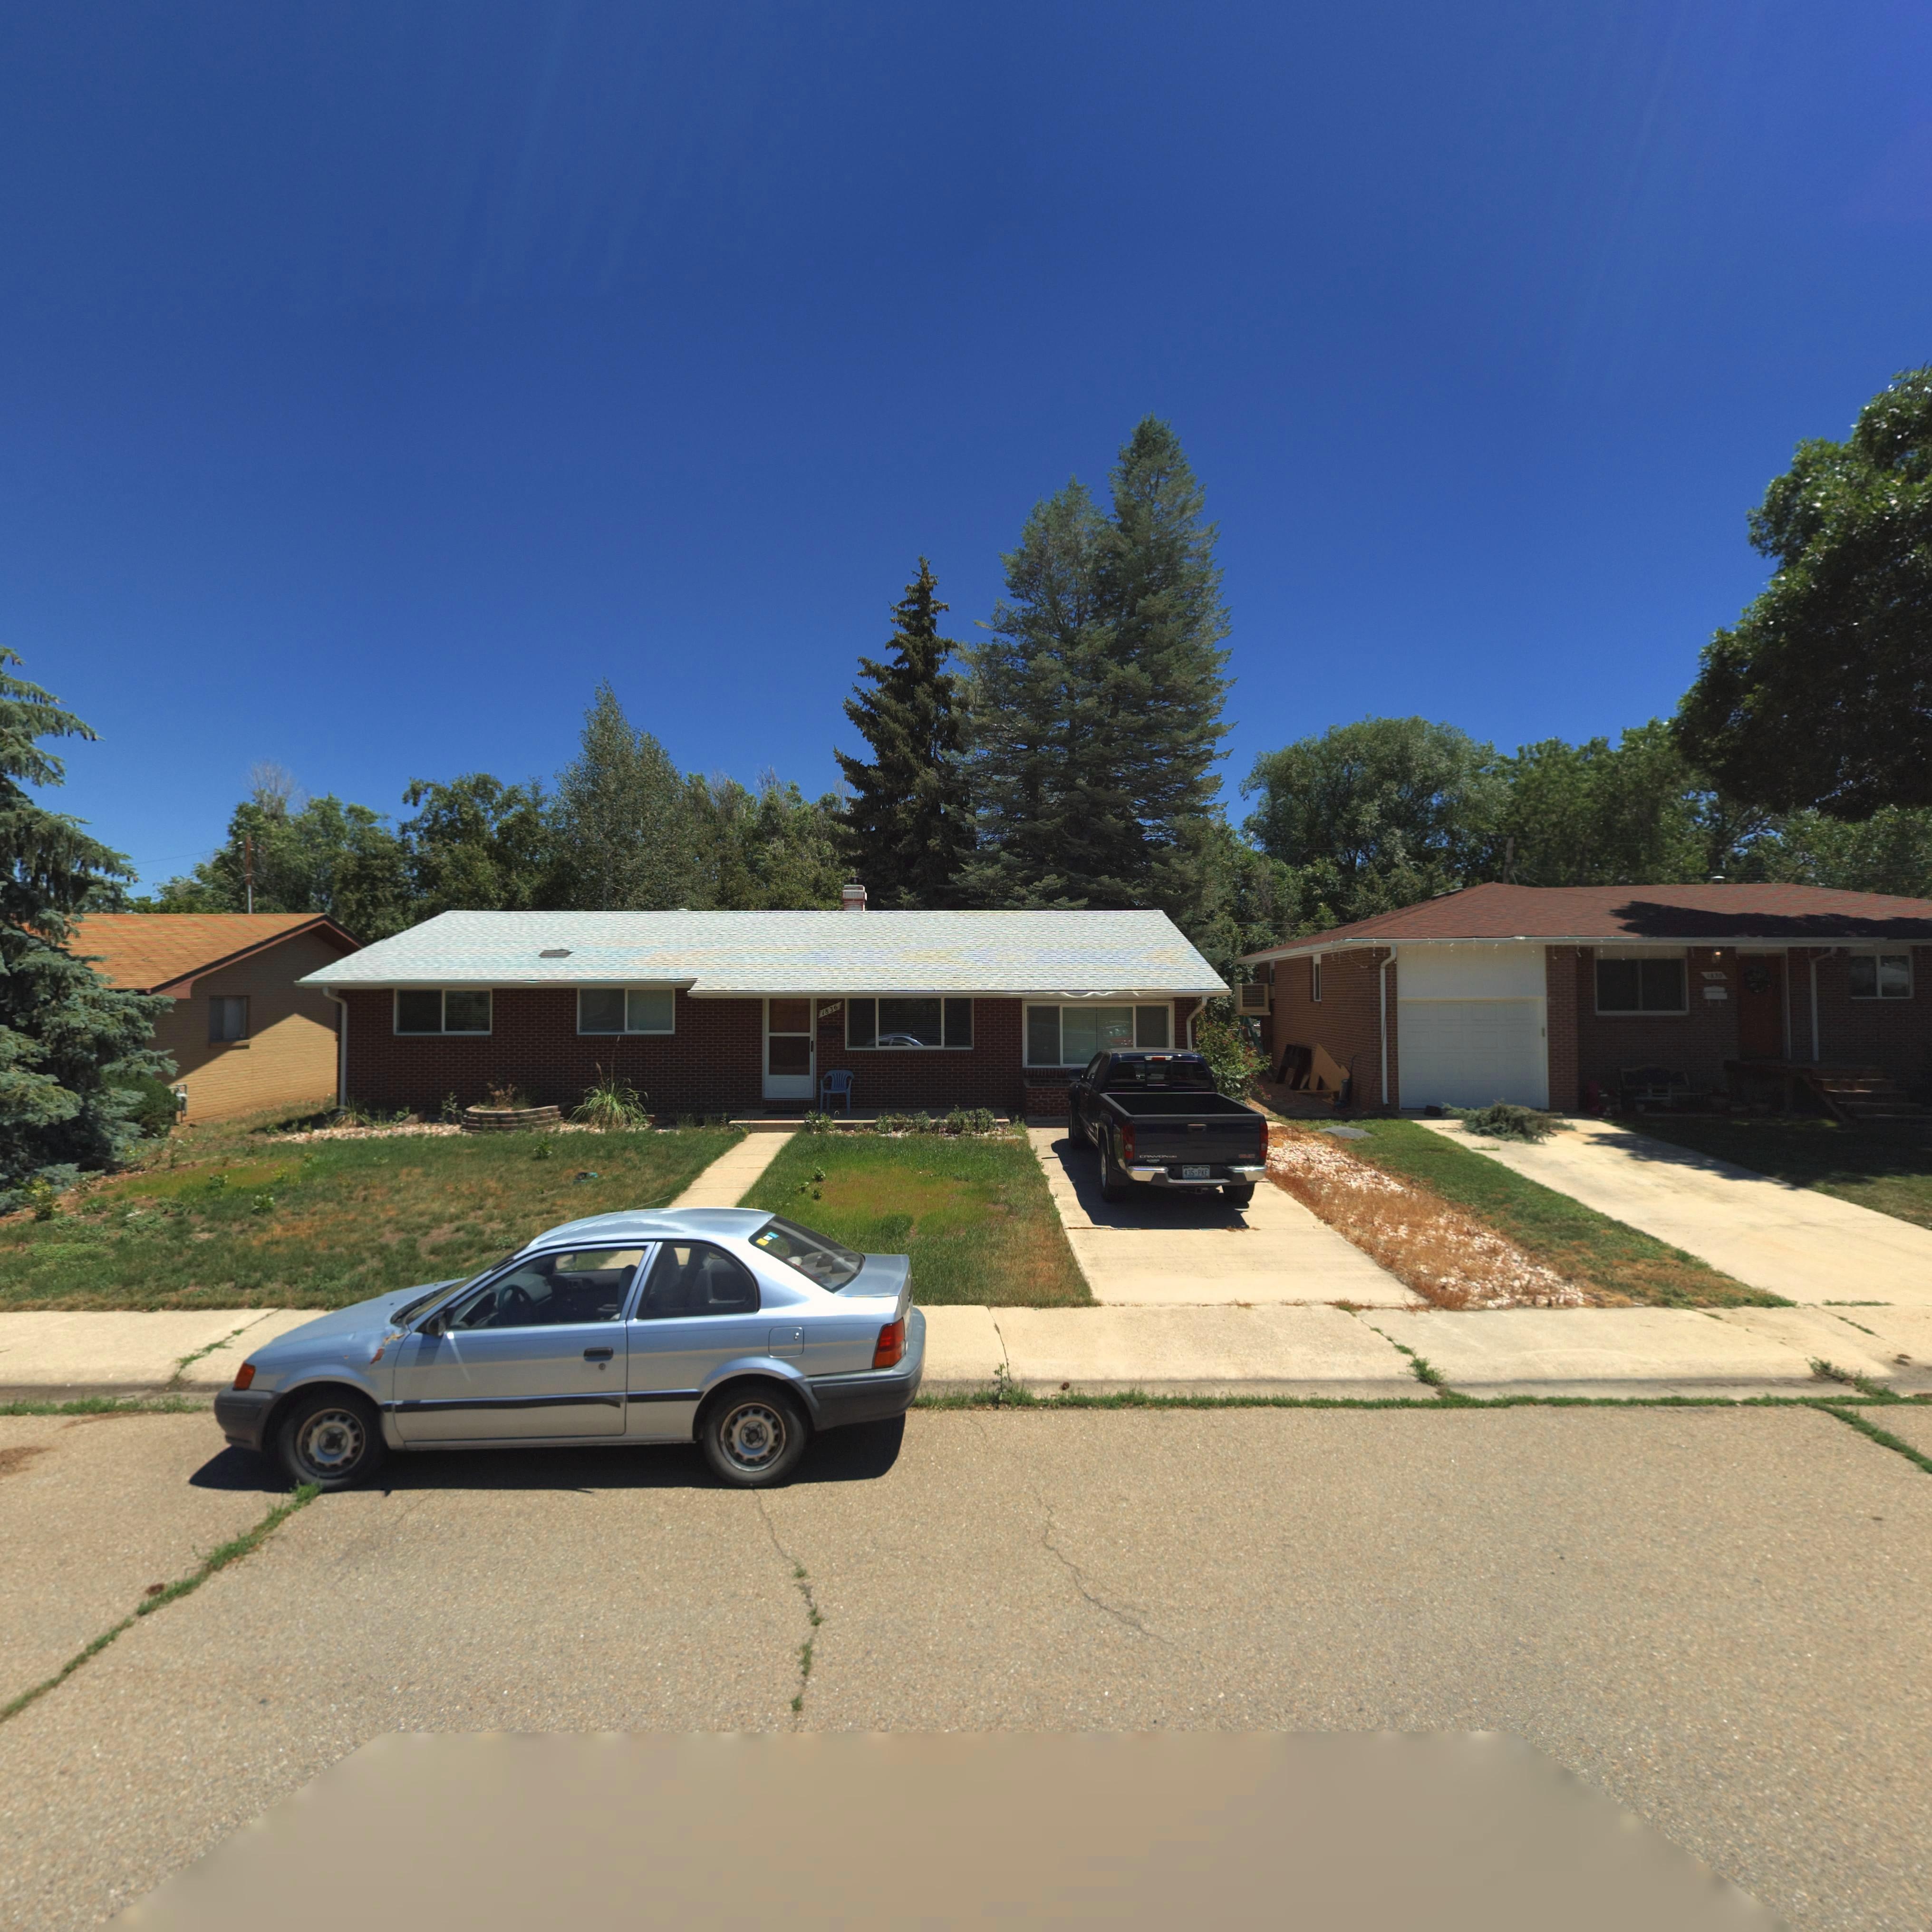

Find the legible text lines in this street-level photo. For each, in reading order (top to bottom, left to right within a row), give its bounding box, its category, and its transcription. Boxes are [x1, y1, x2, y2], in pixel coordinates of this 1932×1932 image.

[1707, 973, 1723, 978] StreetNumber: *8**
[821, 1003, 838, 1016] StreetNumber: 1836